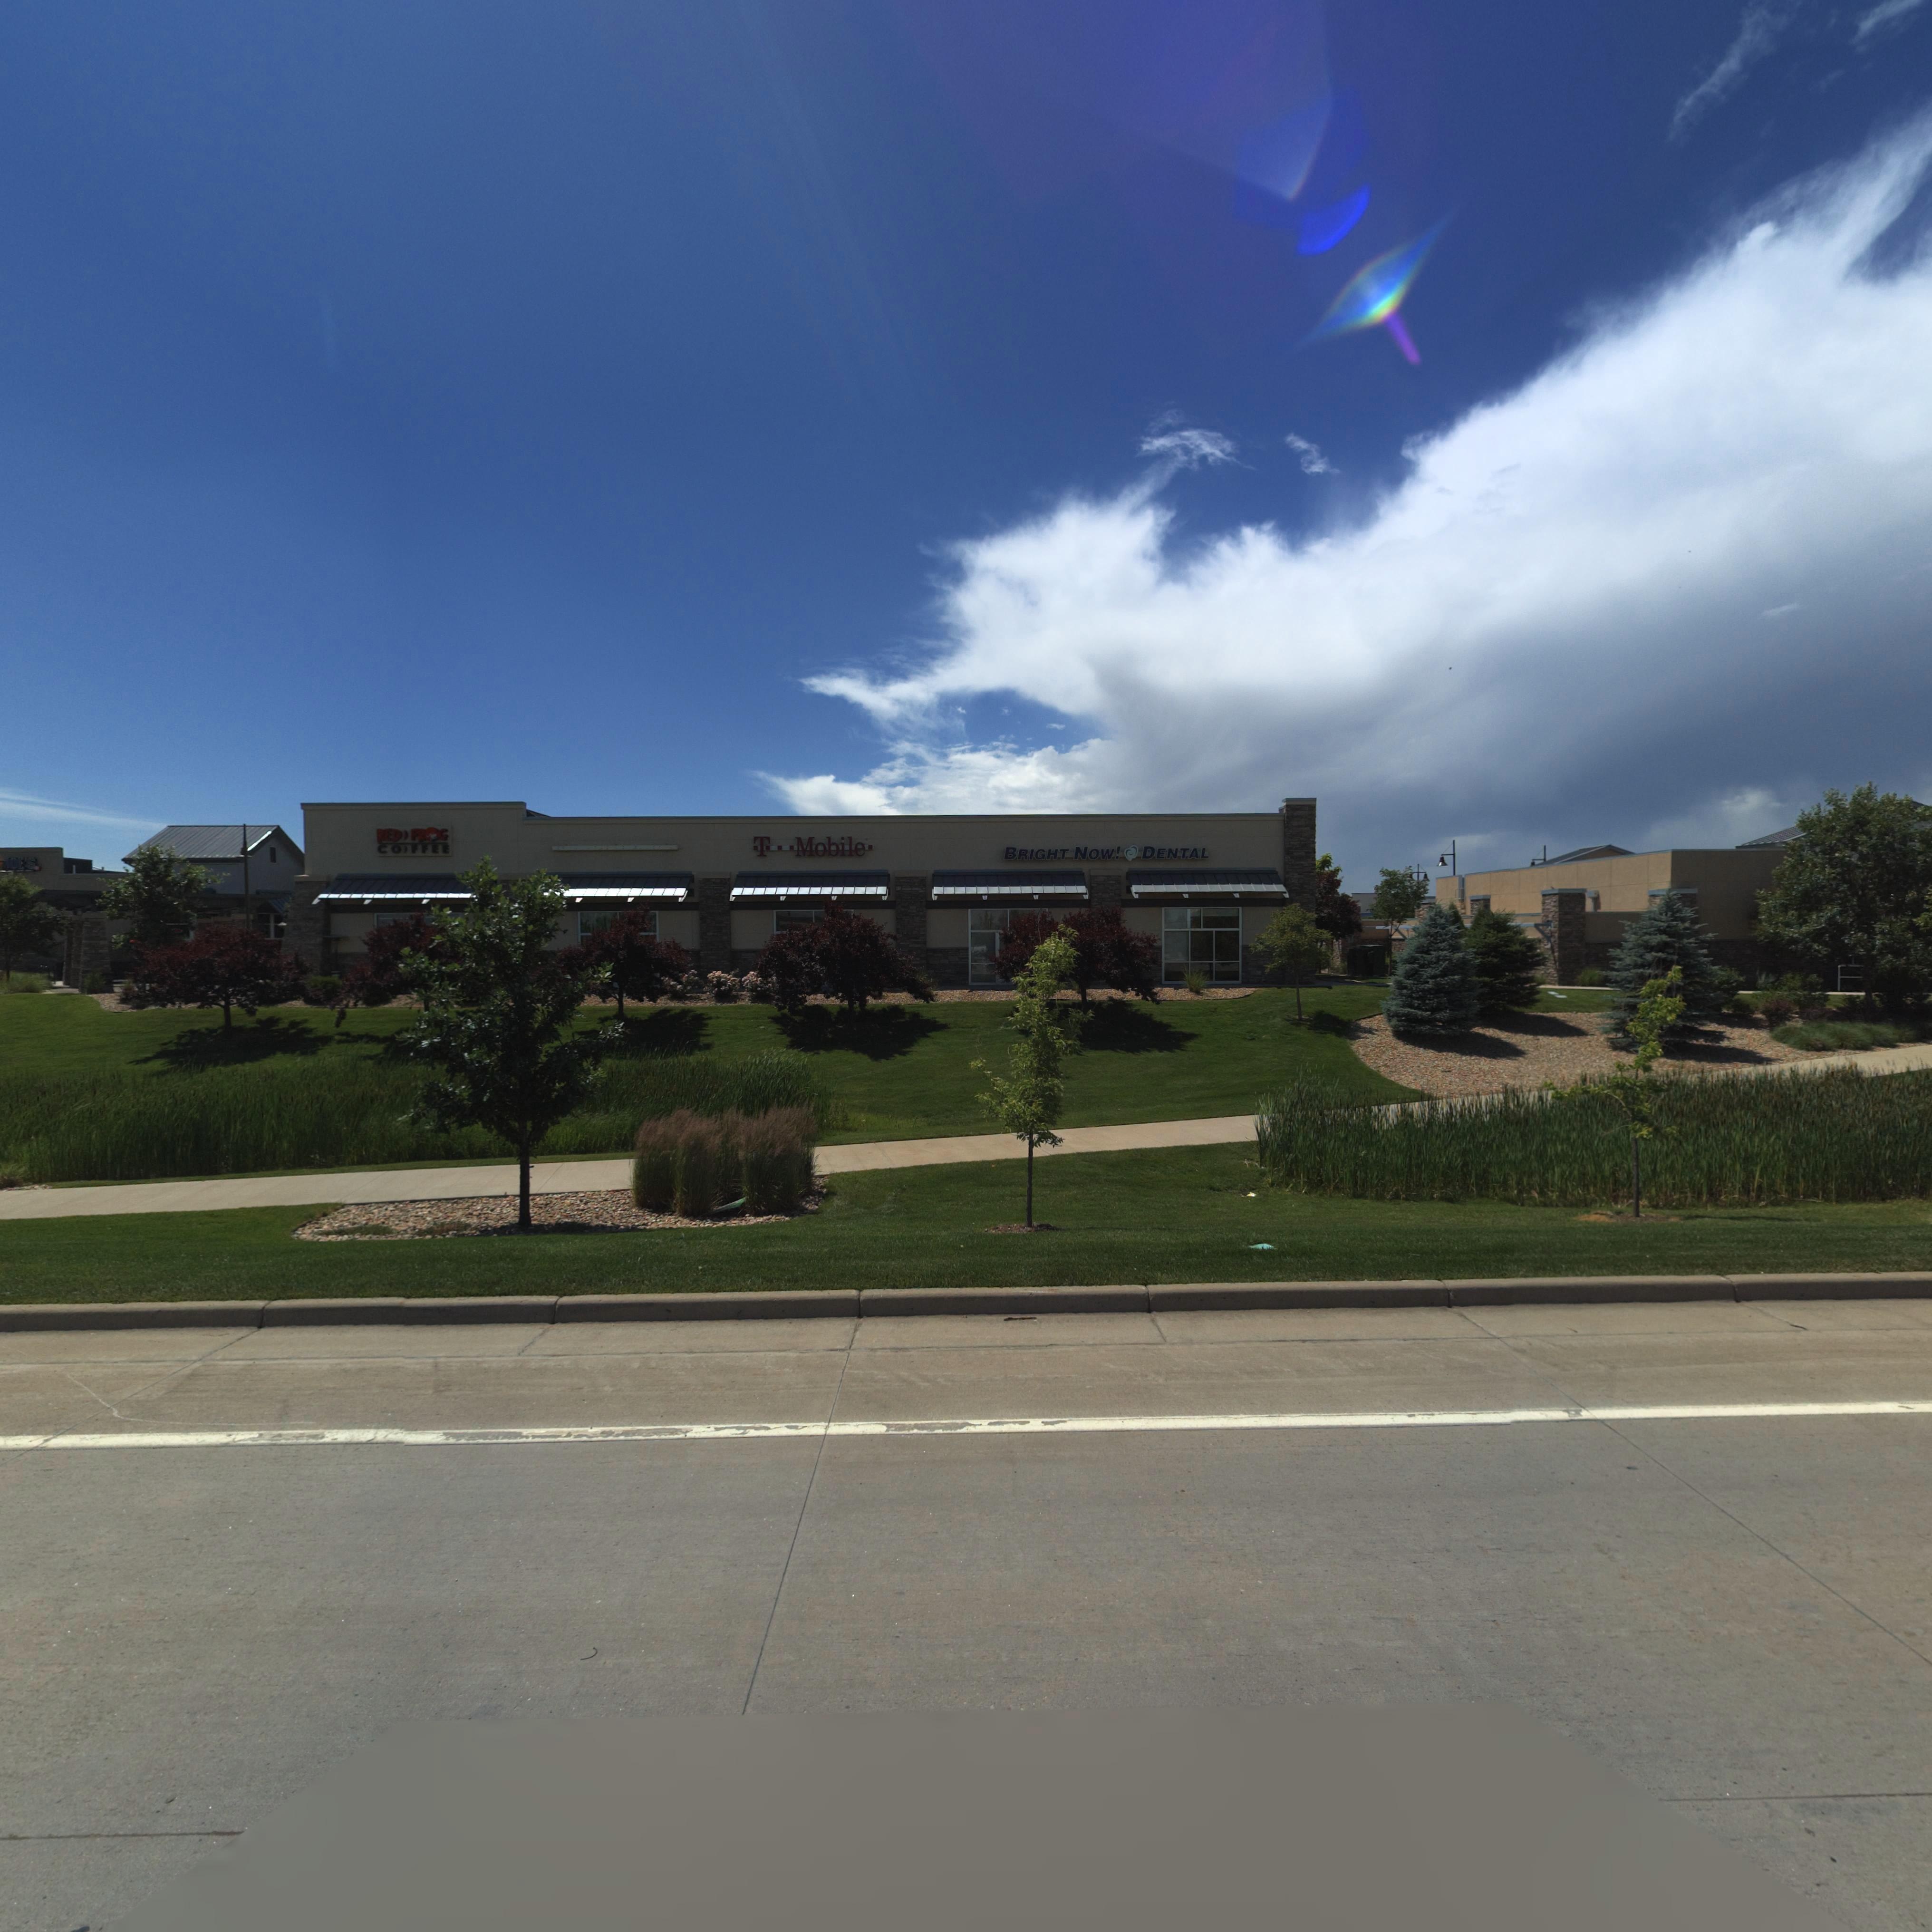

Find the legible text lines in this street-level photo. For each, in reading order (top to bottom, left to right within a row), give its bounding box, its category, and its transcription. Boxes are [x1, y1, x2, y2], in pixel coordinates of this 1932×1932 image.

[376, 827, 450, 843] BusinessName: RED*FR*G
[376, 843, 451, 854] BusinessName: CO*FFEE
[752, 835, 867, 857] BusinessName: *T***Mobile
[1003, 845, 1210, 860] BusinessName: BRIGHT NOW! * DENTAL
[2, 855, 37, 871] BusinessName: *OE*S